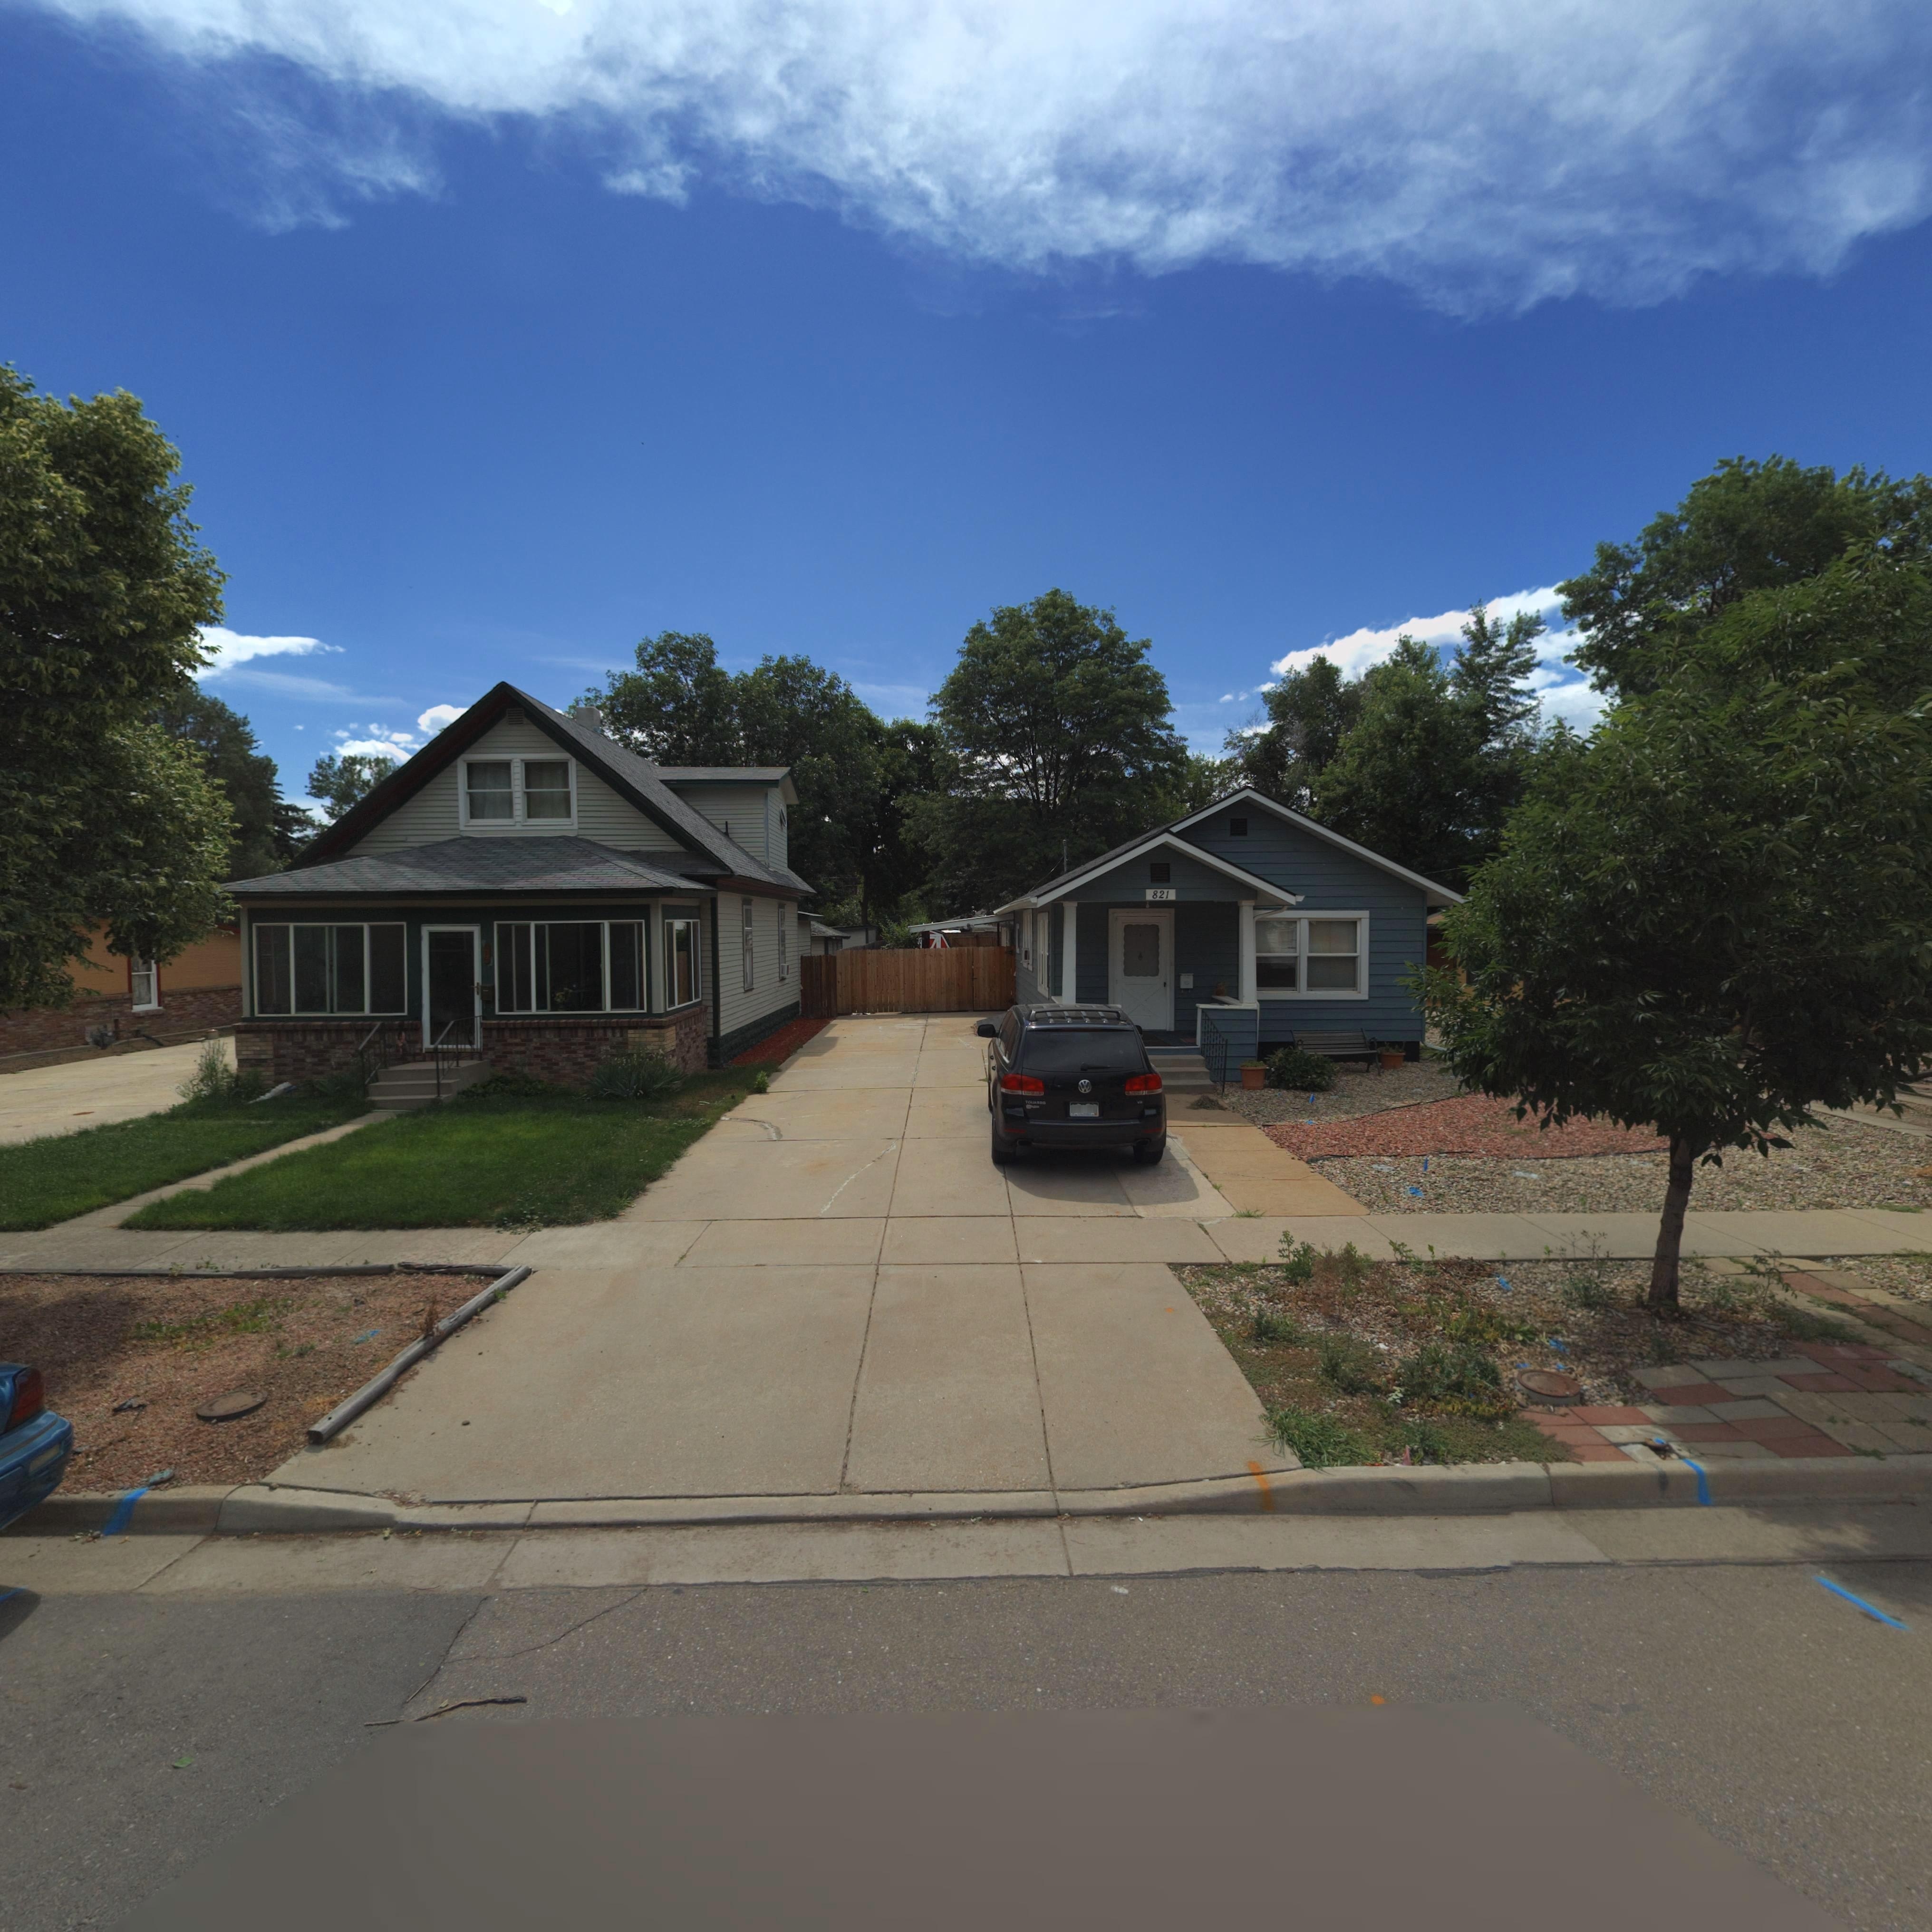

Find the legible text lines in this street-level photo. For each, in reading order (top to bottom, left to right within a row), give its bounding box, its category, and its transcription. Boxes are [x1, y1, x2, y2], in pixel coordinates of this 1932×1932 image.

[1152, 890, 1169, 898] StreetNumber: 821